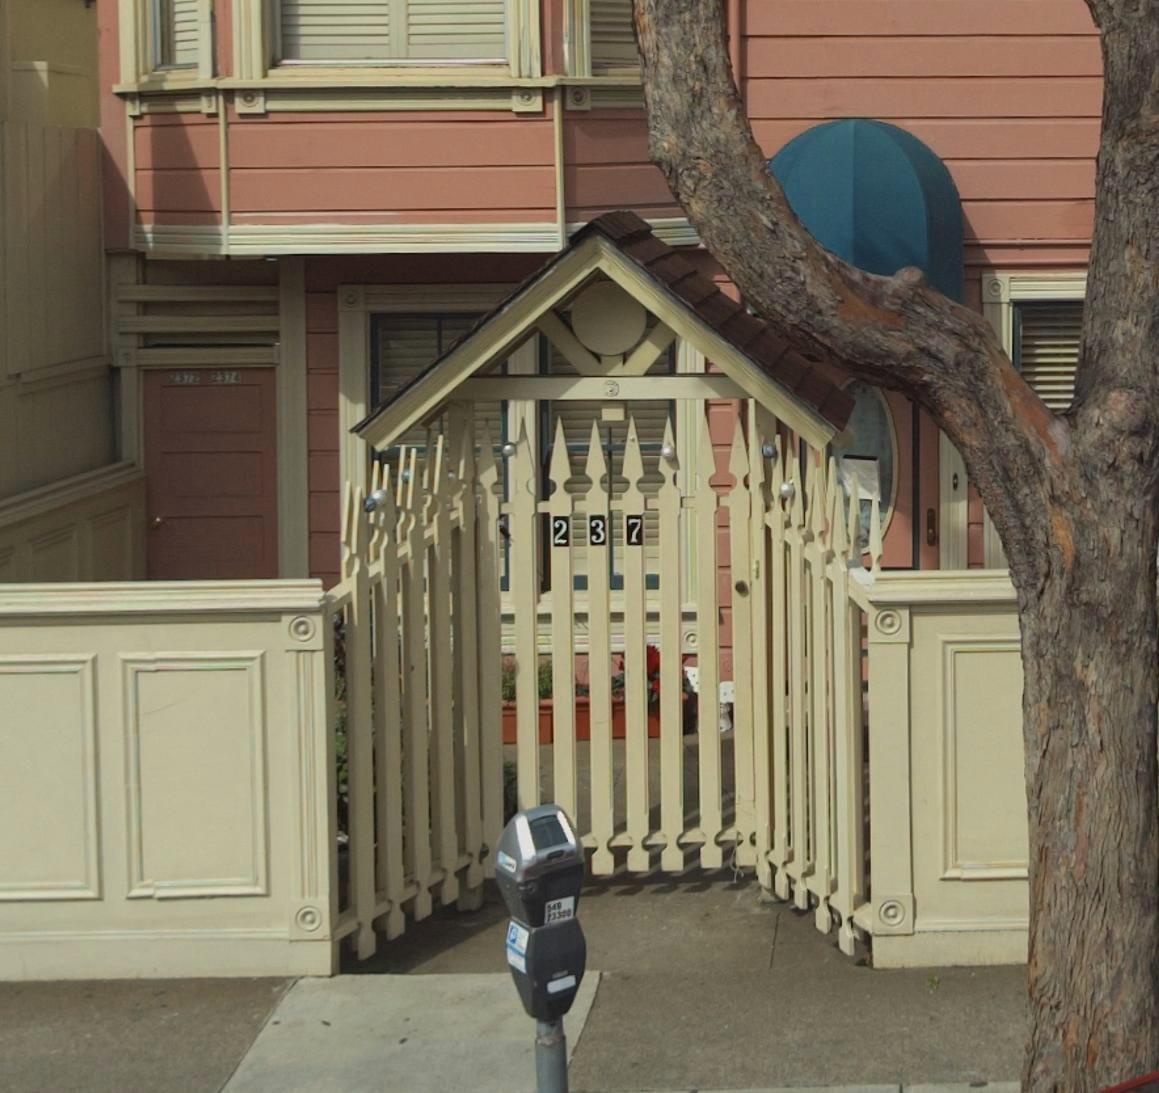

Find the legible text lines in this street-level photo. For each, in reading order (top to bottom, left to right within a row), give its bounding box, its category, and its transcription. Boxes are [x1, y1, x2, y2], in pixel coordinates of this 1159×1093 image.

[171, 372, 201, 383] StreetNumber: 2372
[212, 372, 240, 383] StreetNumber: 2374
[554, 519, 641, 544] StreetNumber: 2 3 7